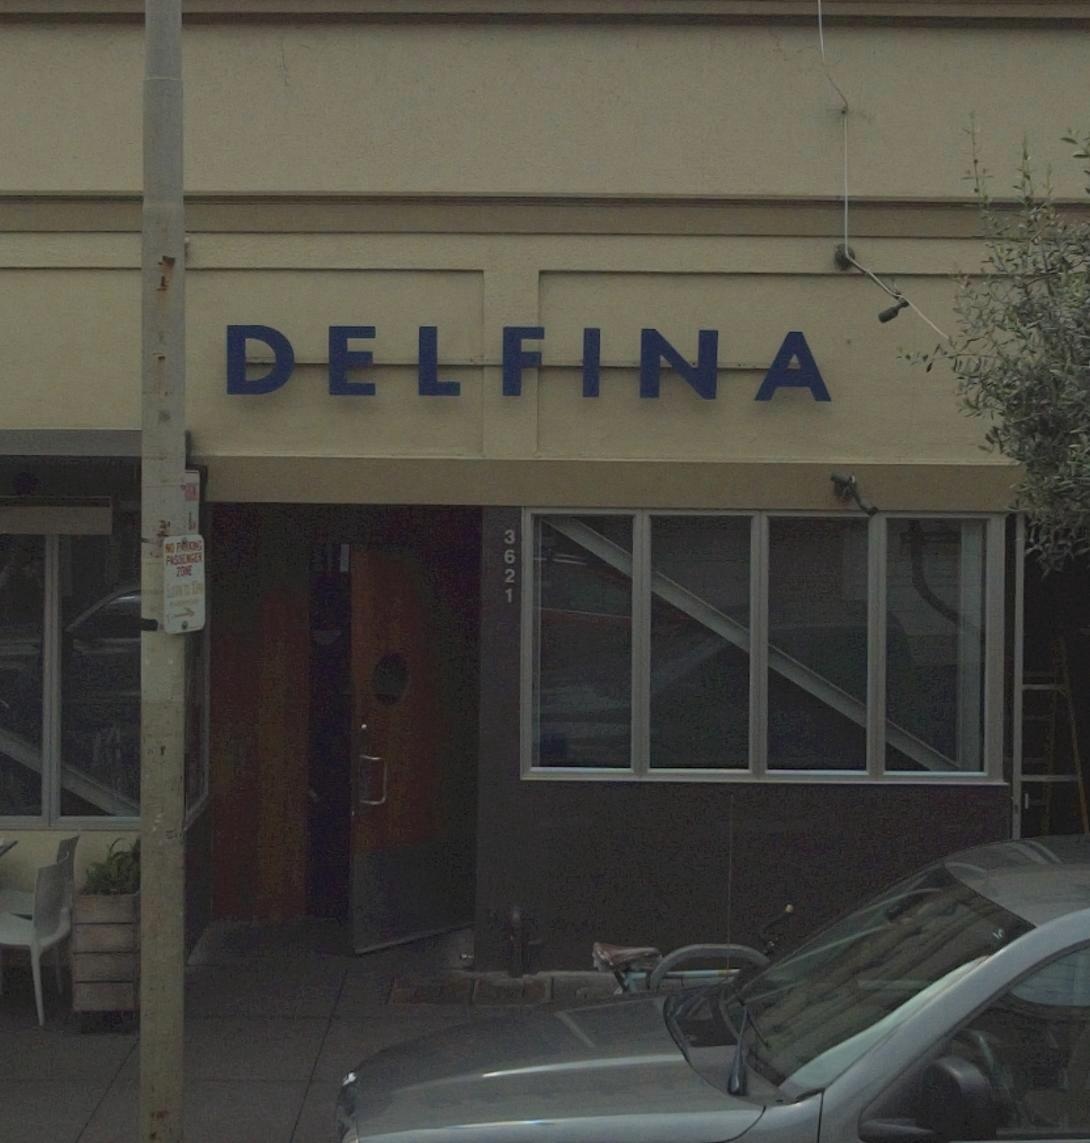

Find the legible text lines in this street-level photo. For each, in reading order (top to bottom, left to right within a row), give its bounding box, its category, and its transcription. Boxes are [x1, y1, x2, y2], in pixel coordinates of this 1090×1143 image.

[223, 321, 836, 404] BusinessName: DELFINA
[165, 551, 203, 567] None: PASSENGER
[175, 564, 193, 577] None: ZONE
[500, 528, 518, 606] StreetNumber: 3621